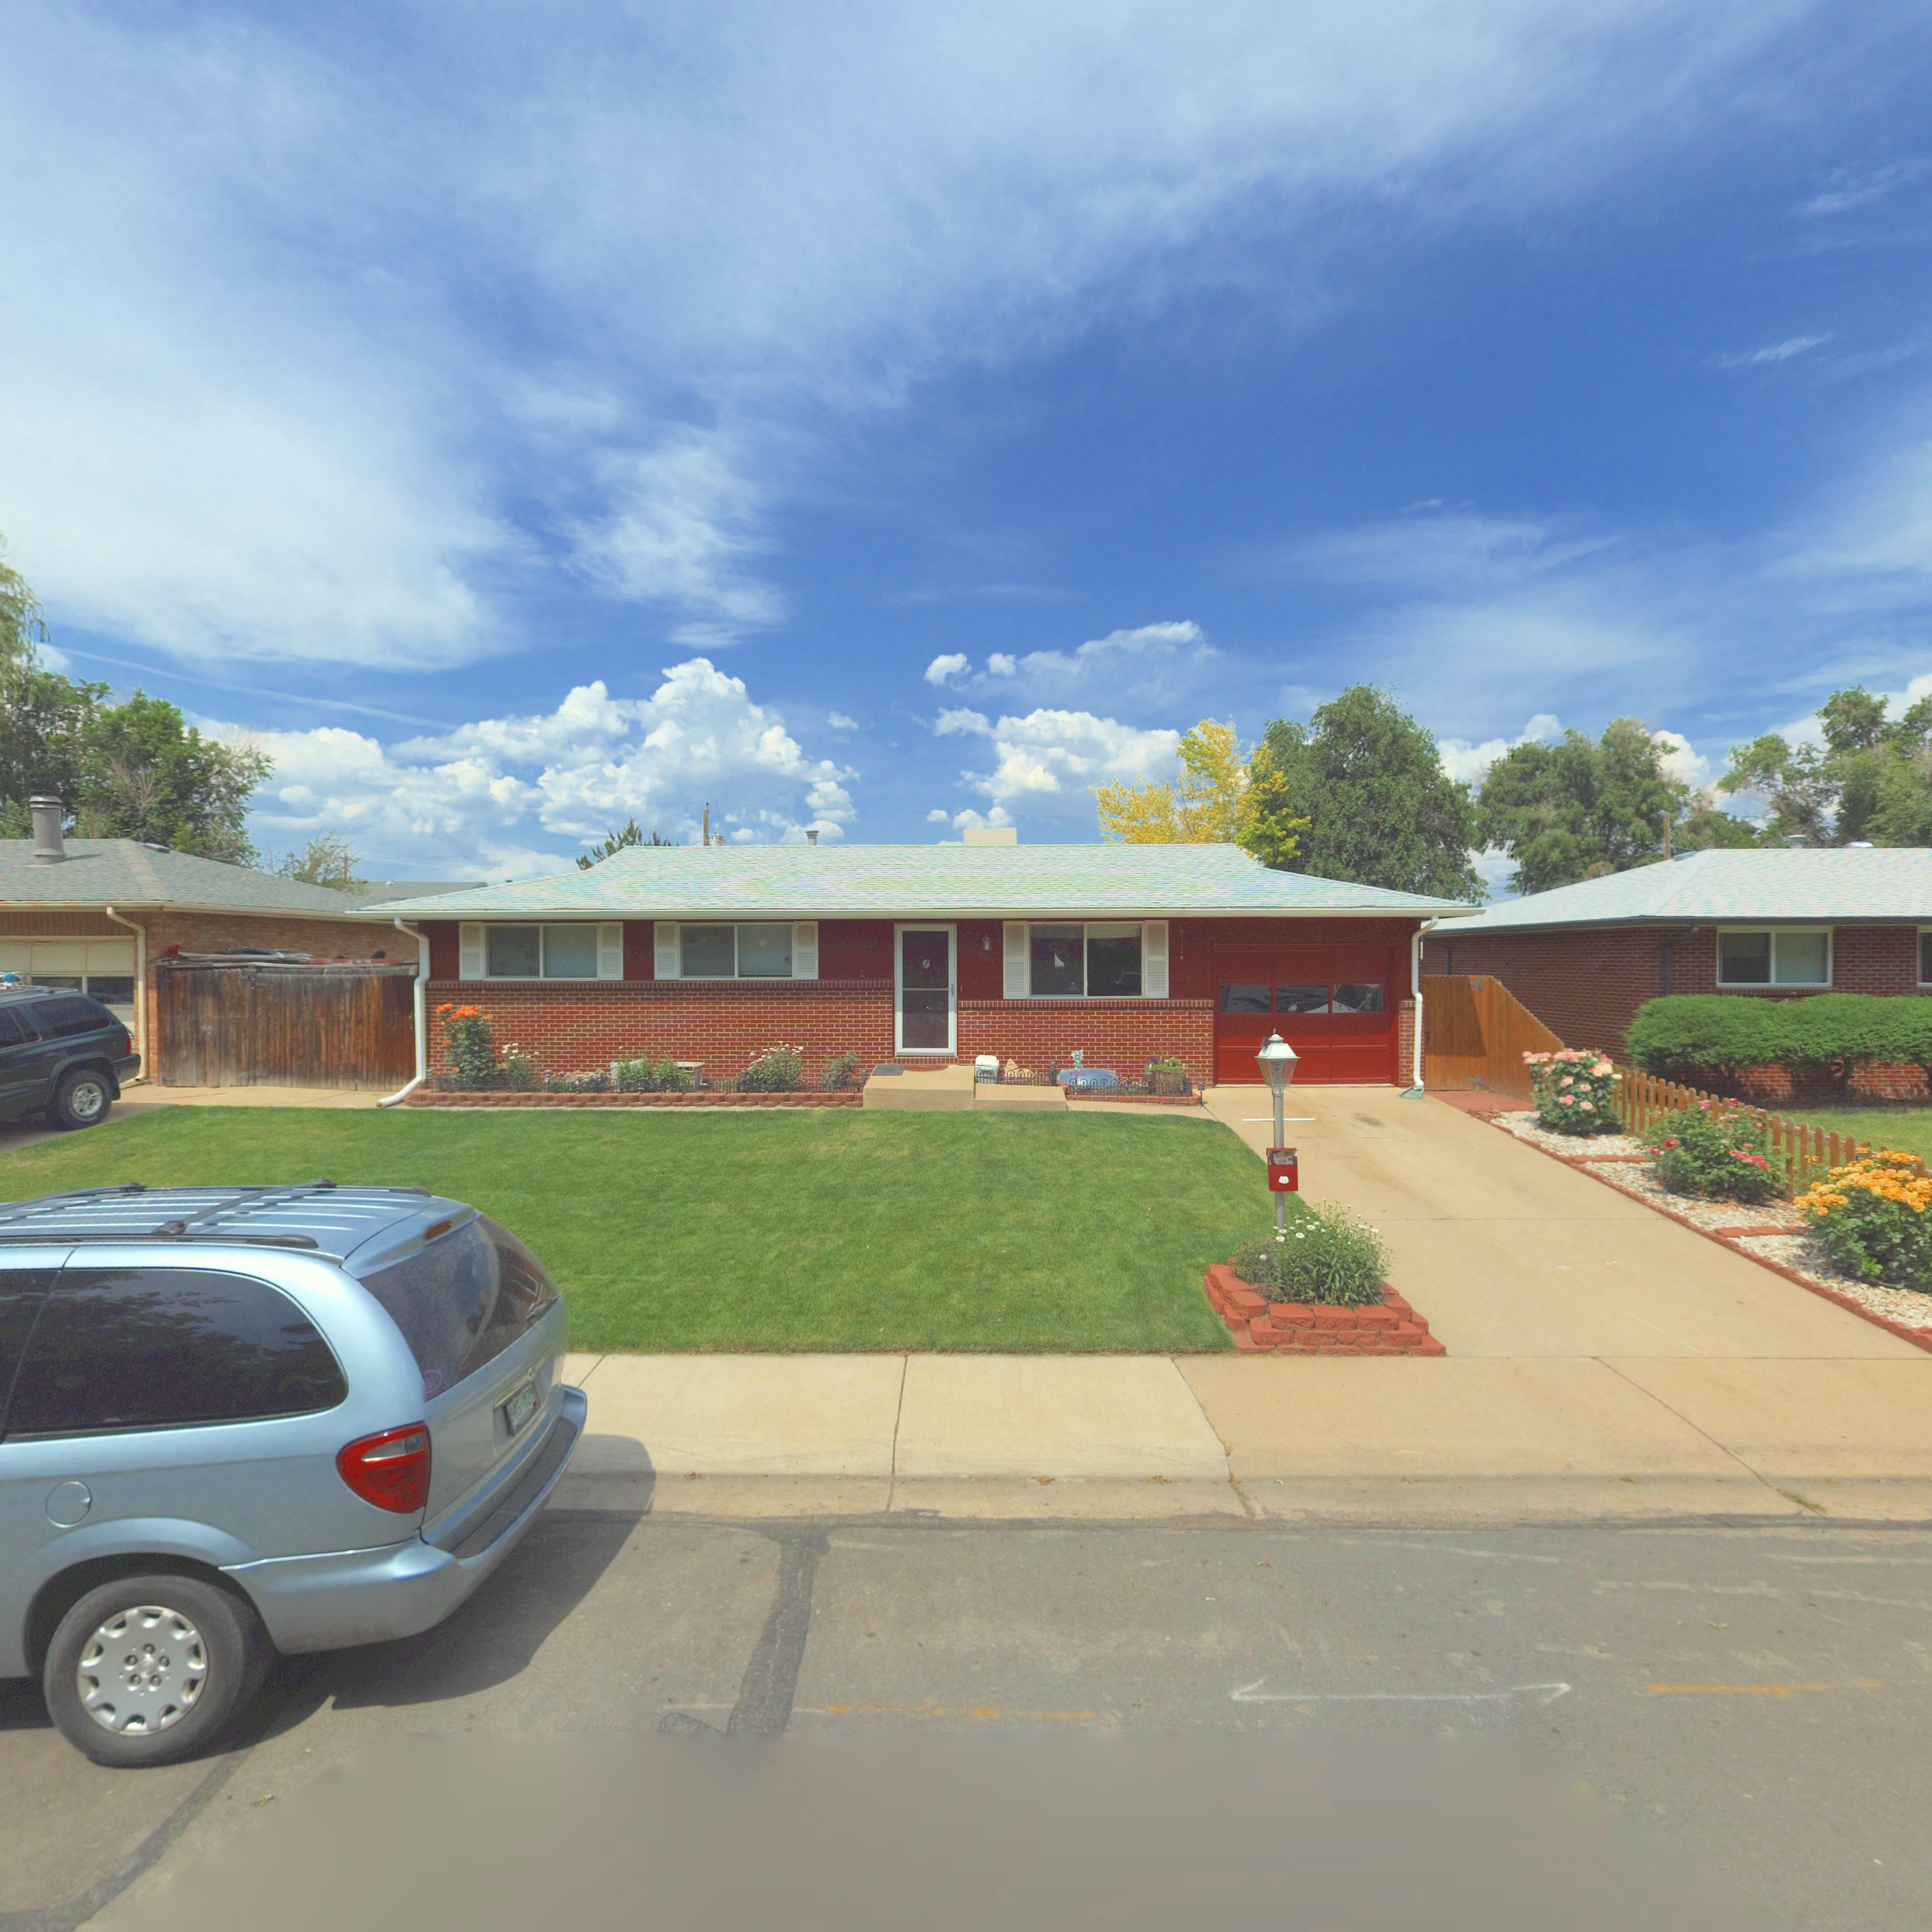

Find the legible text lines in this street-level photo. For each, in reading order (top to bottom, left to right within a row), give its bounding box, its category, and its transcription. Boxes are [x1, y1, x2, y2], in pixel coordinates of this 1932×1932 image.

[978, 951, 994, 966] StreetNumber: 801